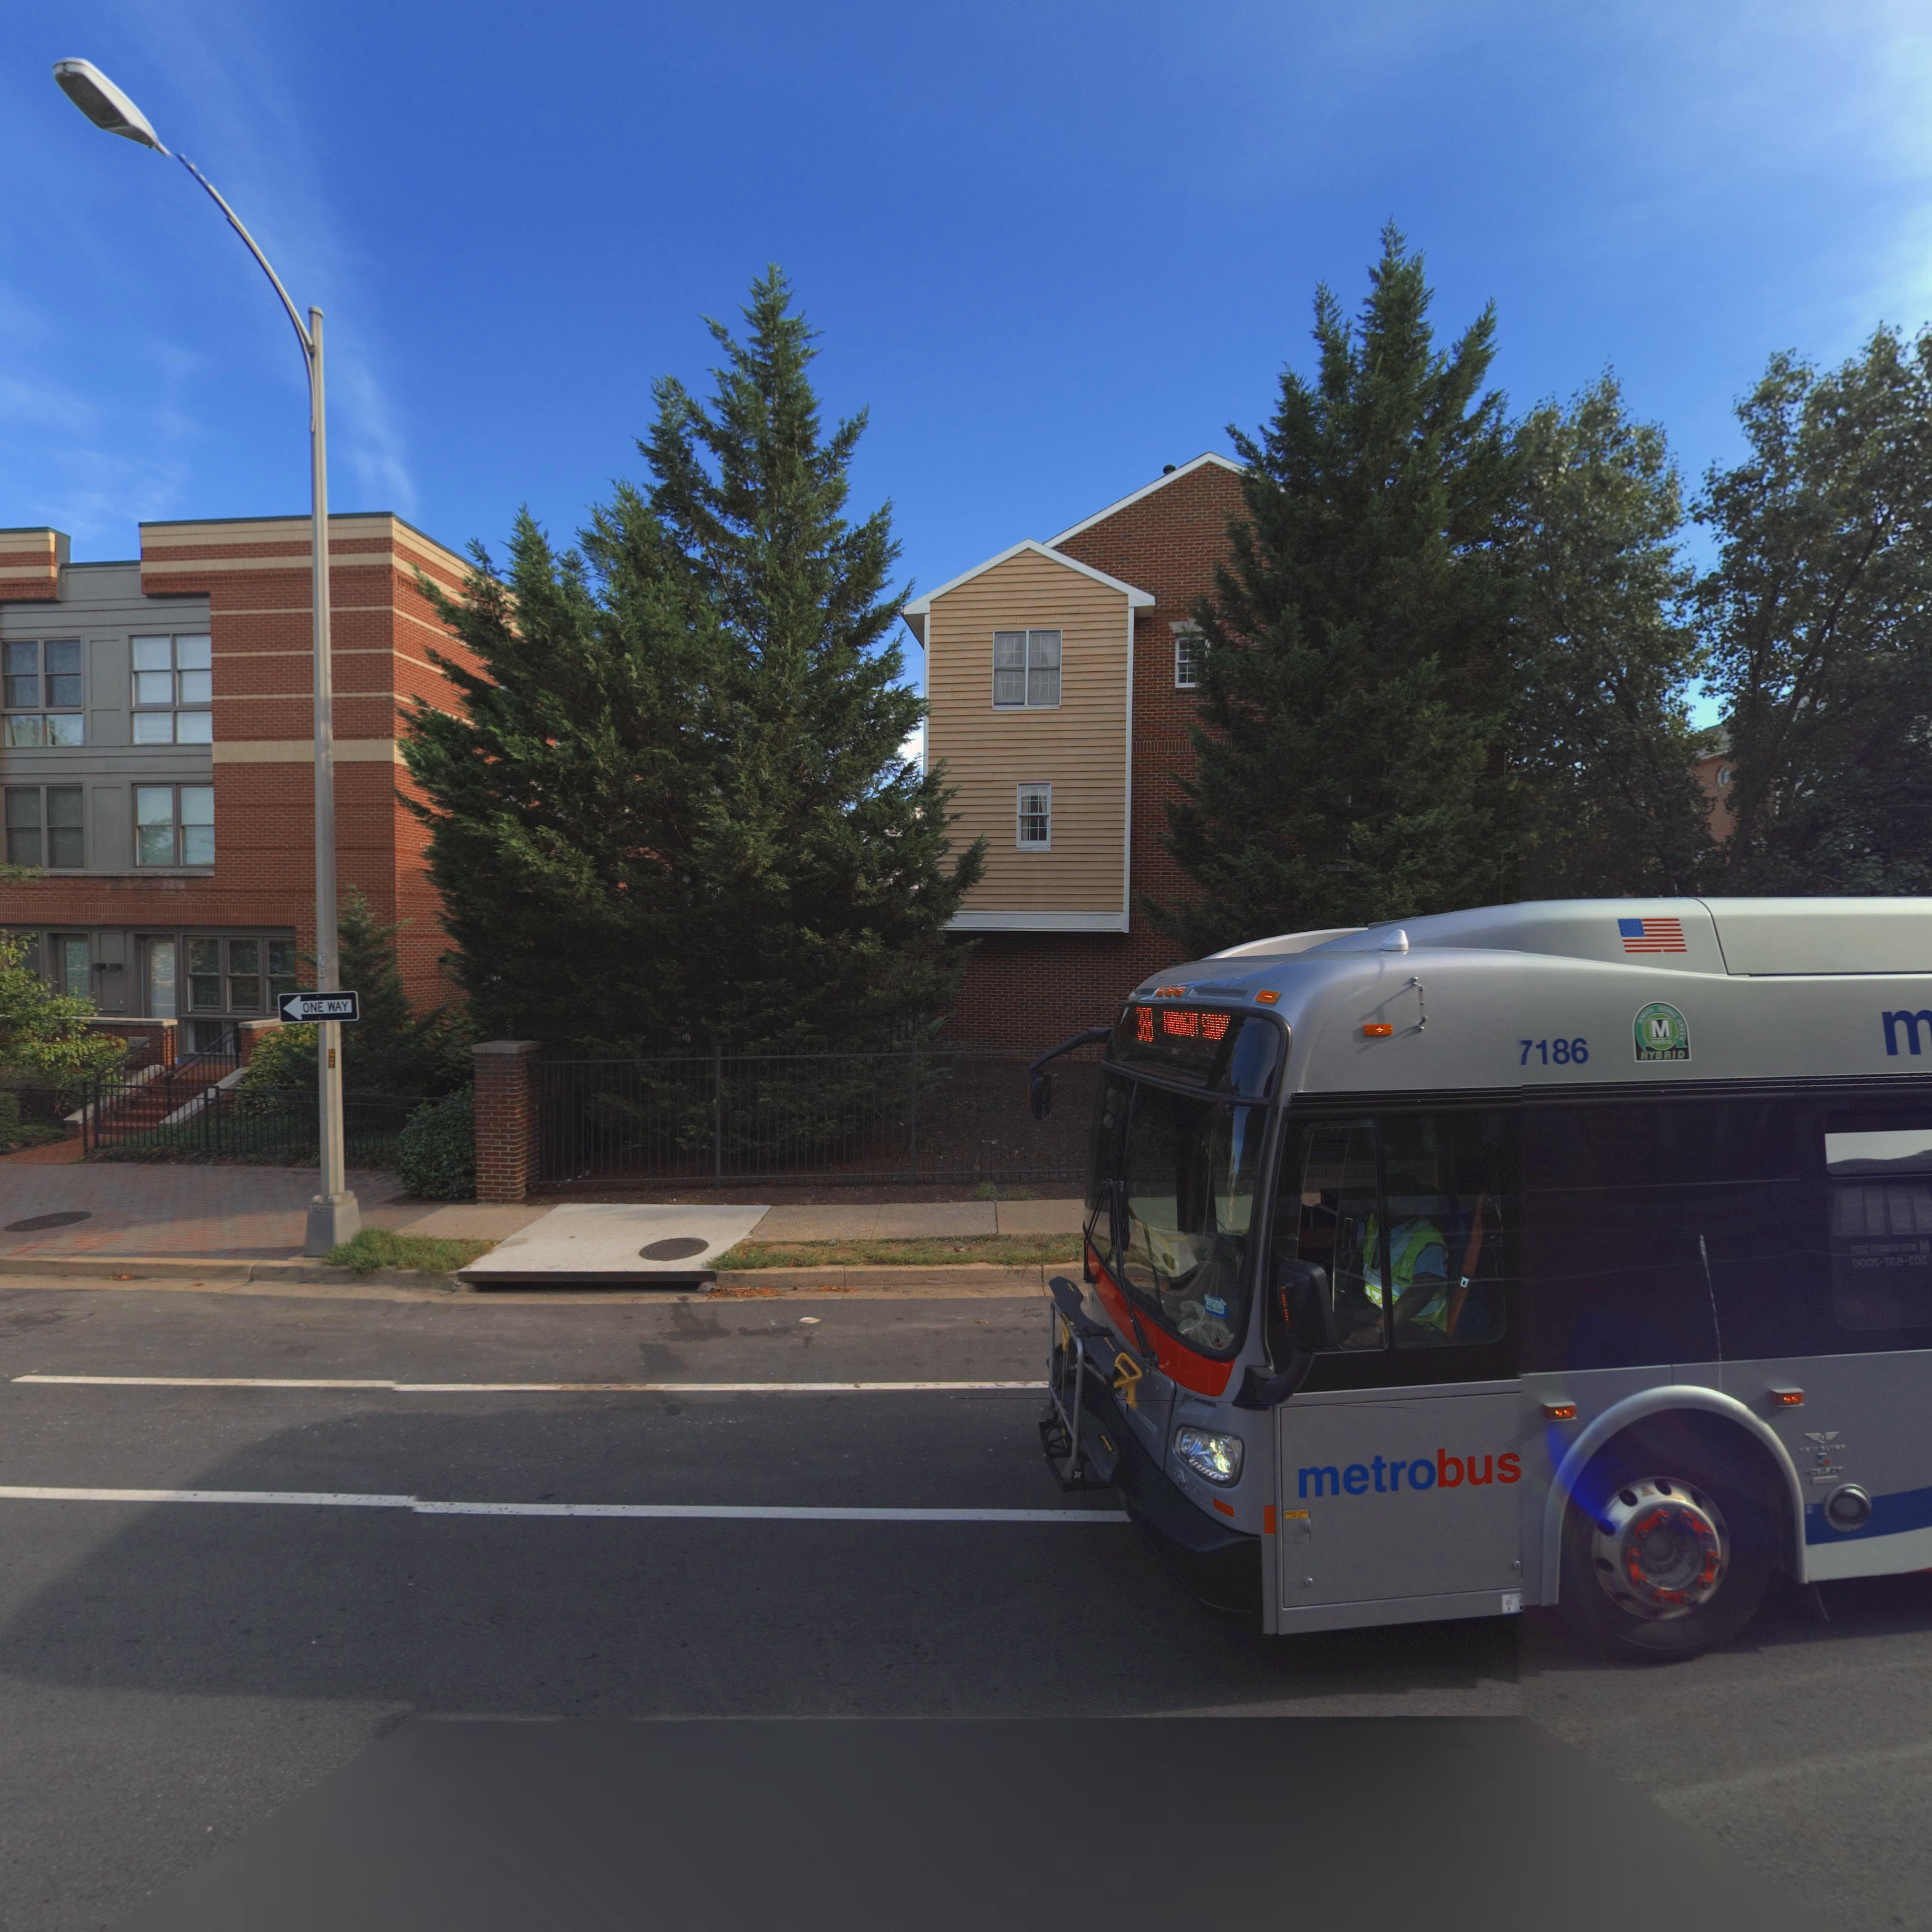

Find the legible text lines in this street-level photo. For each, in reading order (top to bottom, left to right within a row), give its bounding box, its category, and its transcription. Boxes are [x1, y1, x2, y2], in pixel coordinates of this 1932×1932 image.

[301, 999, 350, 1014] None: ONE WAY
[1134, 1004, 1156, 1044] None: 388
[1651, 1018, 1671, 1038] None: M
[1516, 1035, 1591, 1068] None: 7186
[1649, 1037, 1674, 1046] None: metro
[1639, 1049, 1687, 1061] None: HYBRID
[1851, 1254, 1930, 1270] None: 000*-***-*0*
[1296, 1444, 1525, 1501] None: metrobus